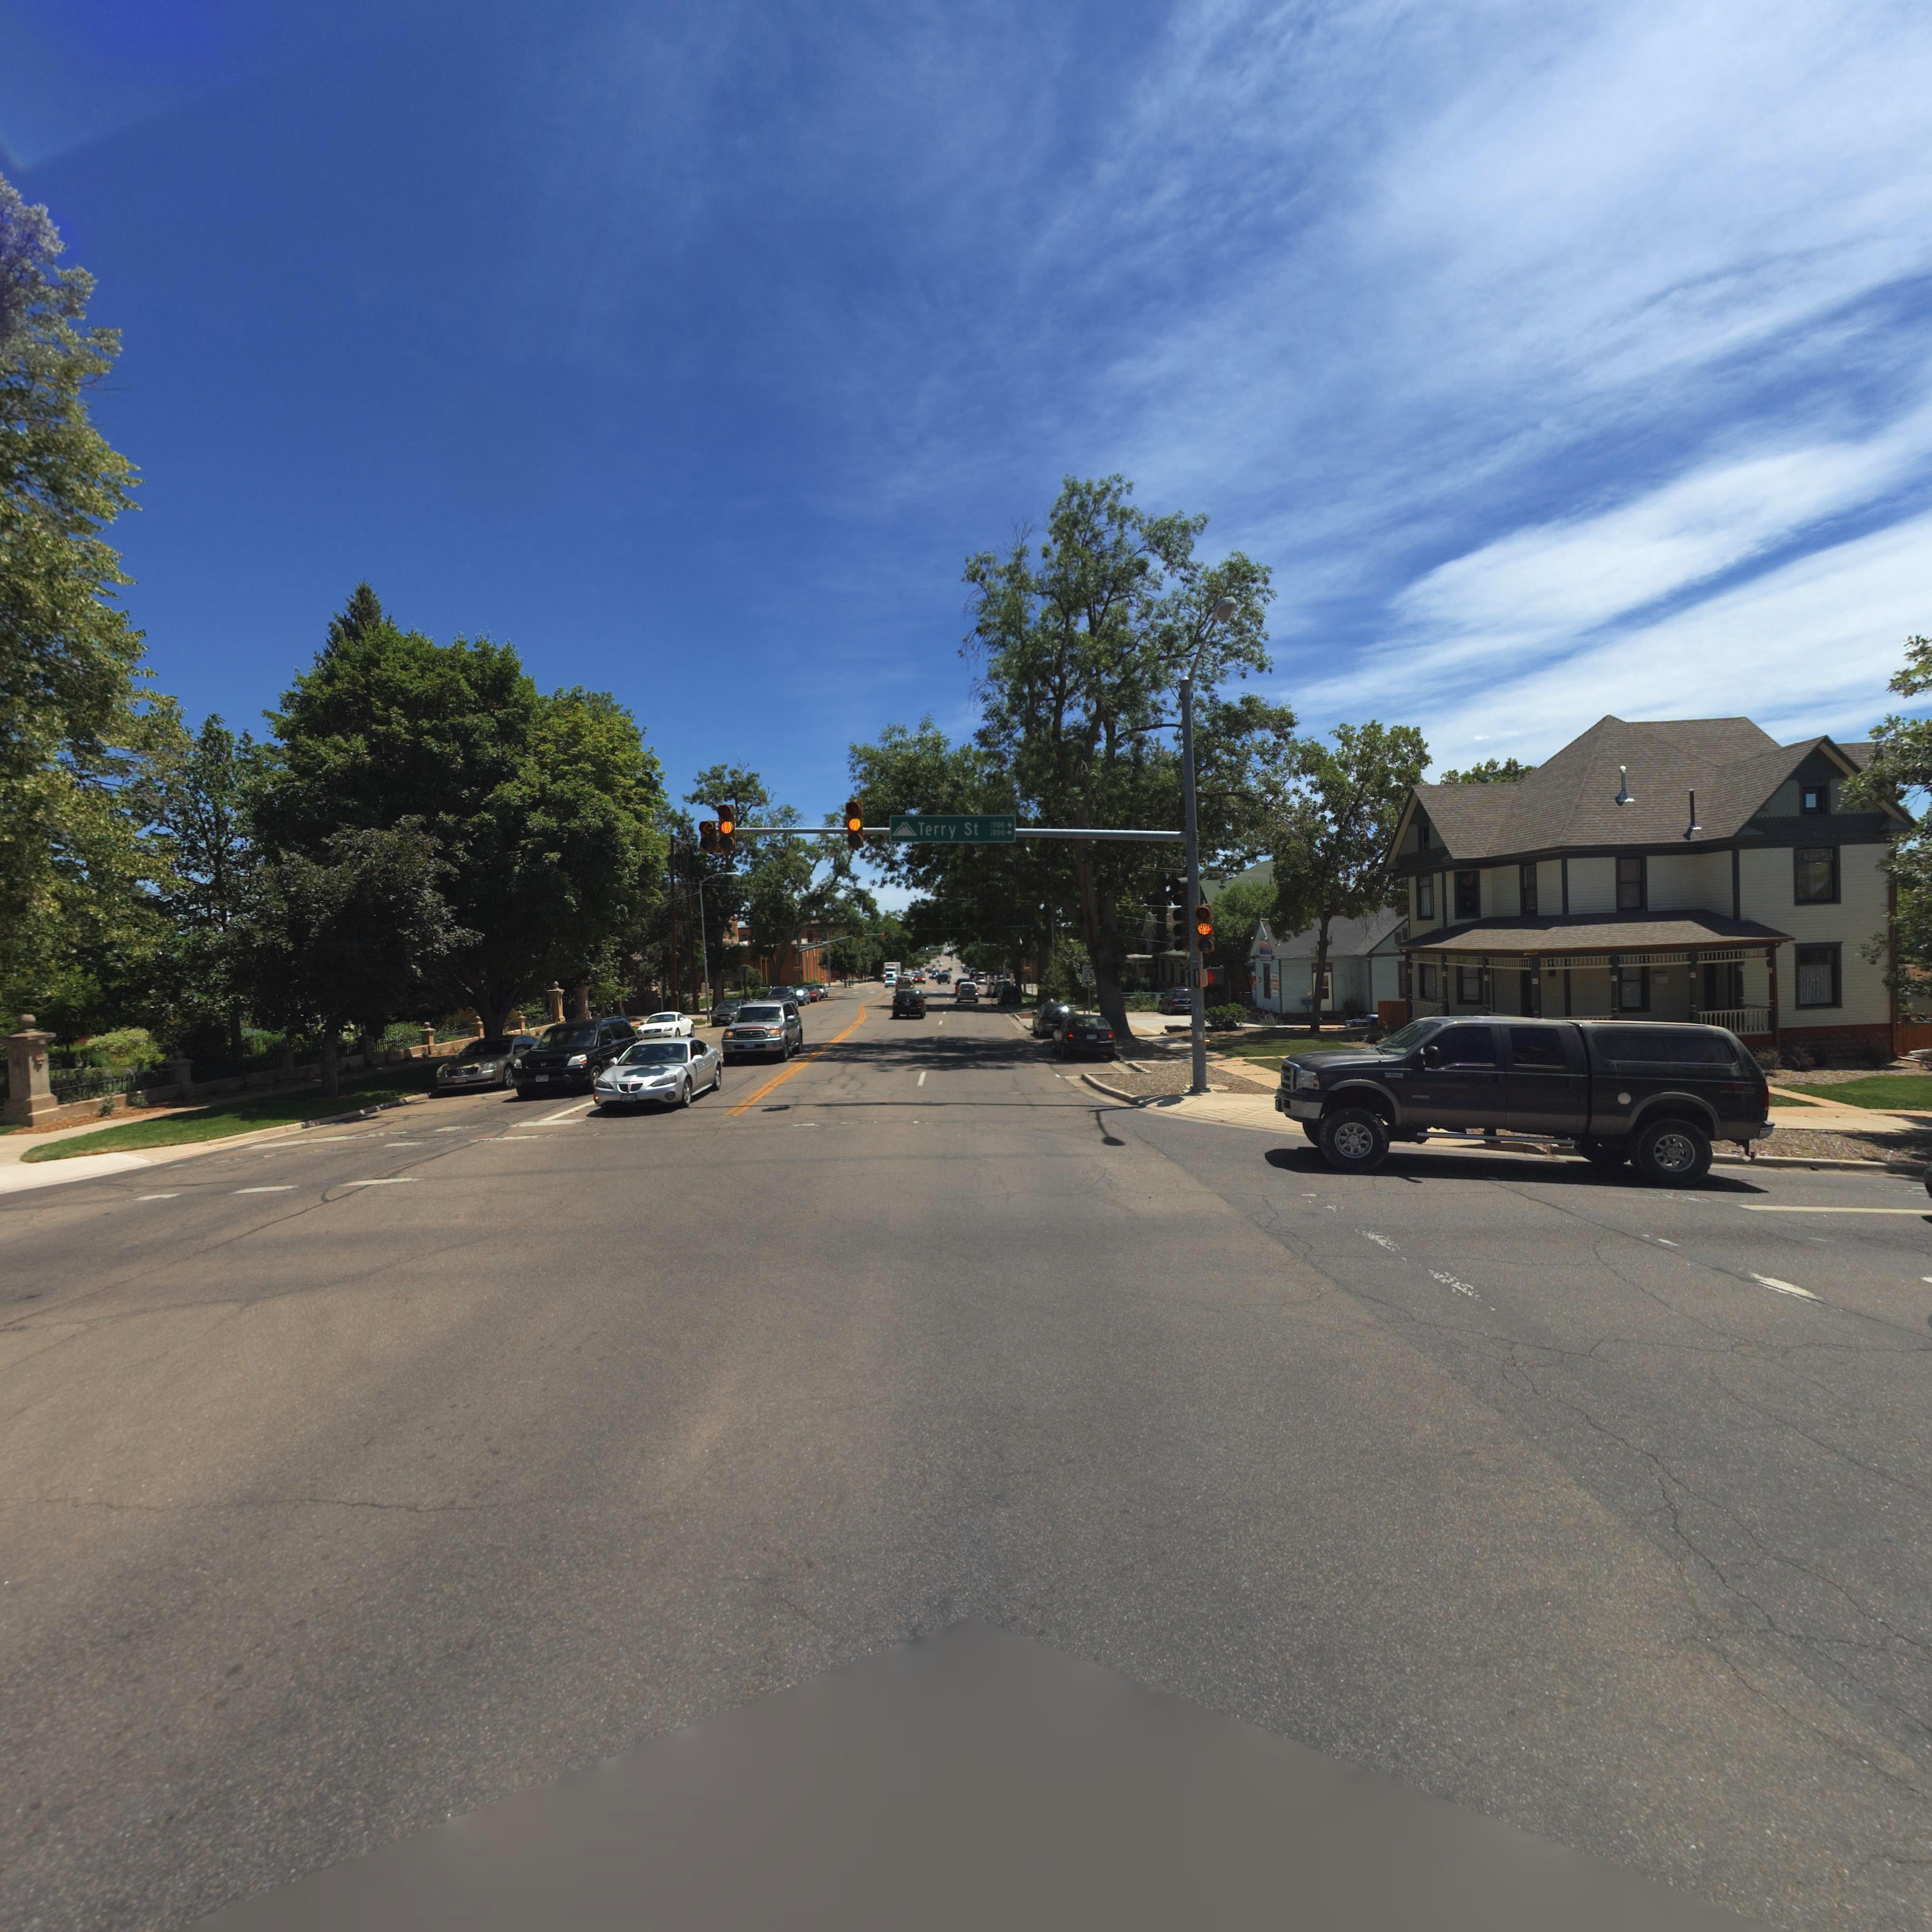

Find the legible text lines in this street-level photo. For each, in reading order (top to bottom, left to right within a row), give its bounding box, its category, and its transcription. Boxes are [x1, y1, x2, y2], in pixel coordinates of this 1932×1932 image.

[989, 821, 1005, 829] StreetNumberRange: 7700
[917, 821, 979, 840] StreetName: Terry St
[989, 829, 1013, 836] StreetNumberRange: 2200->